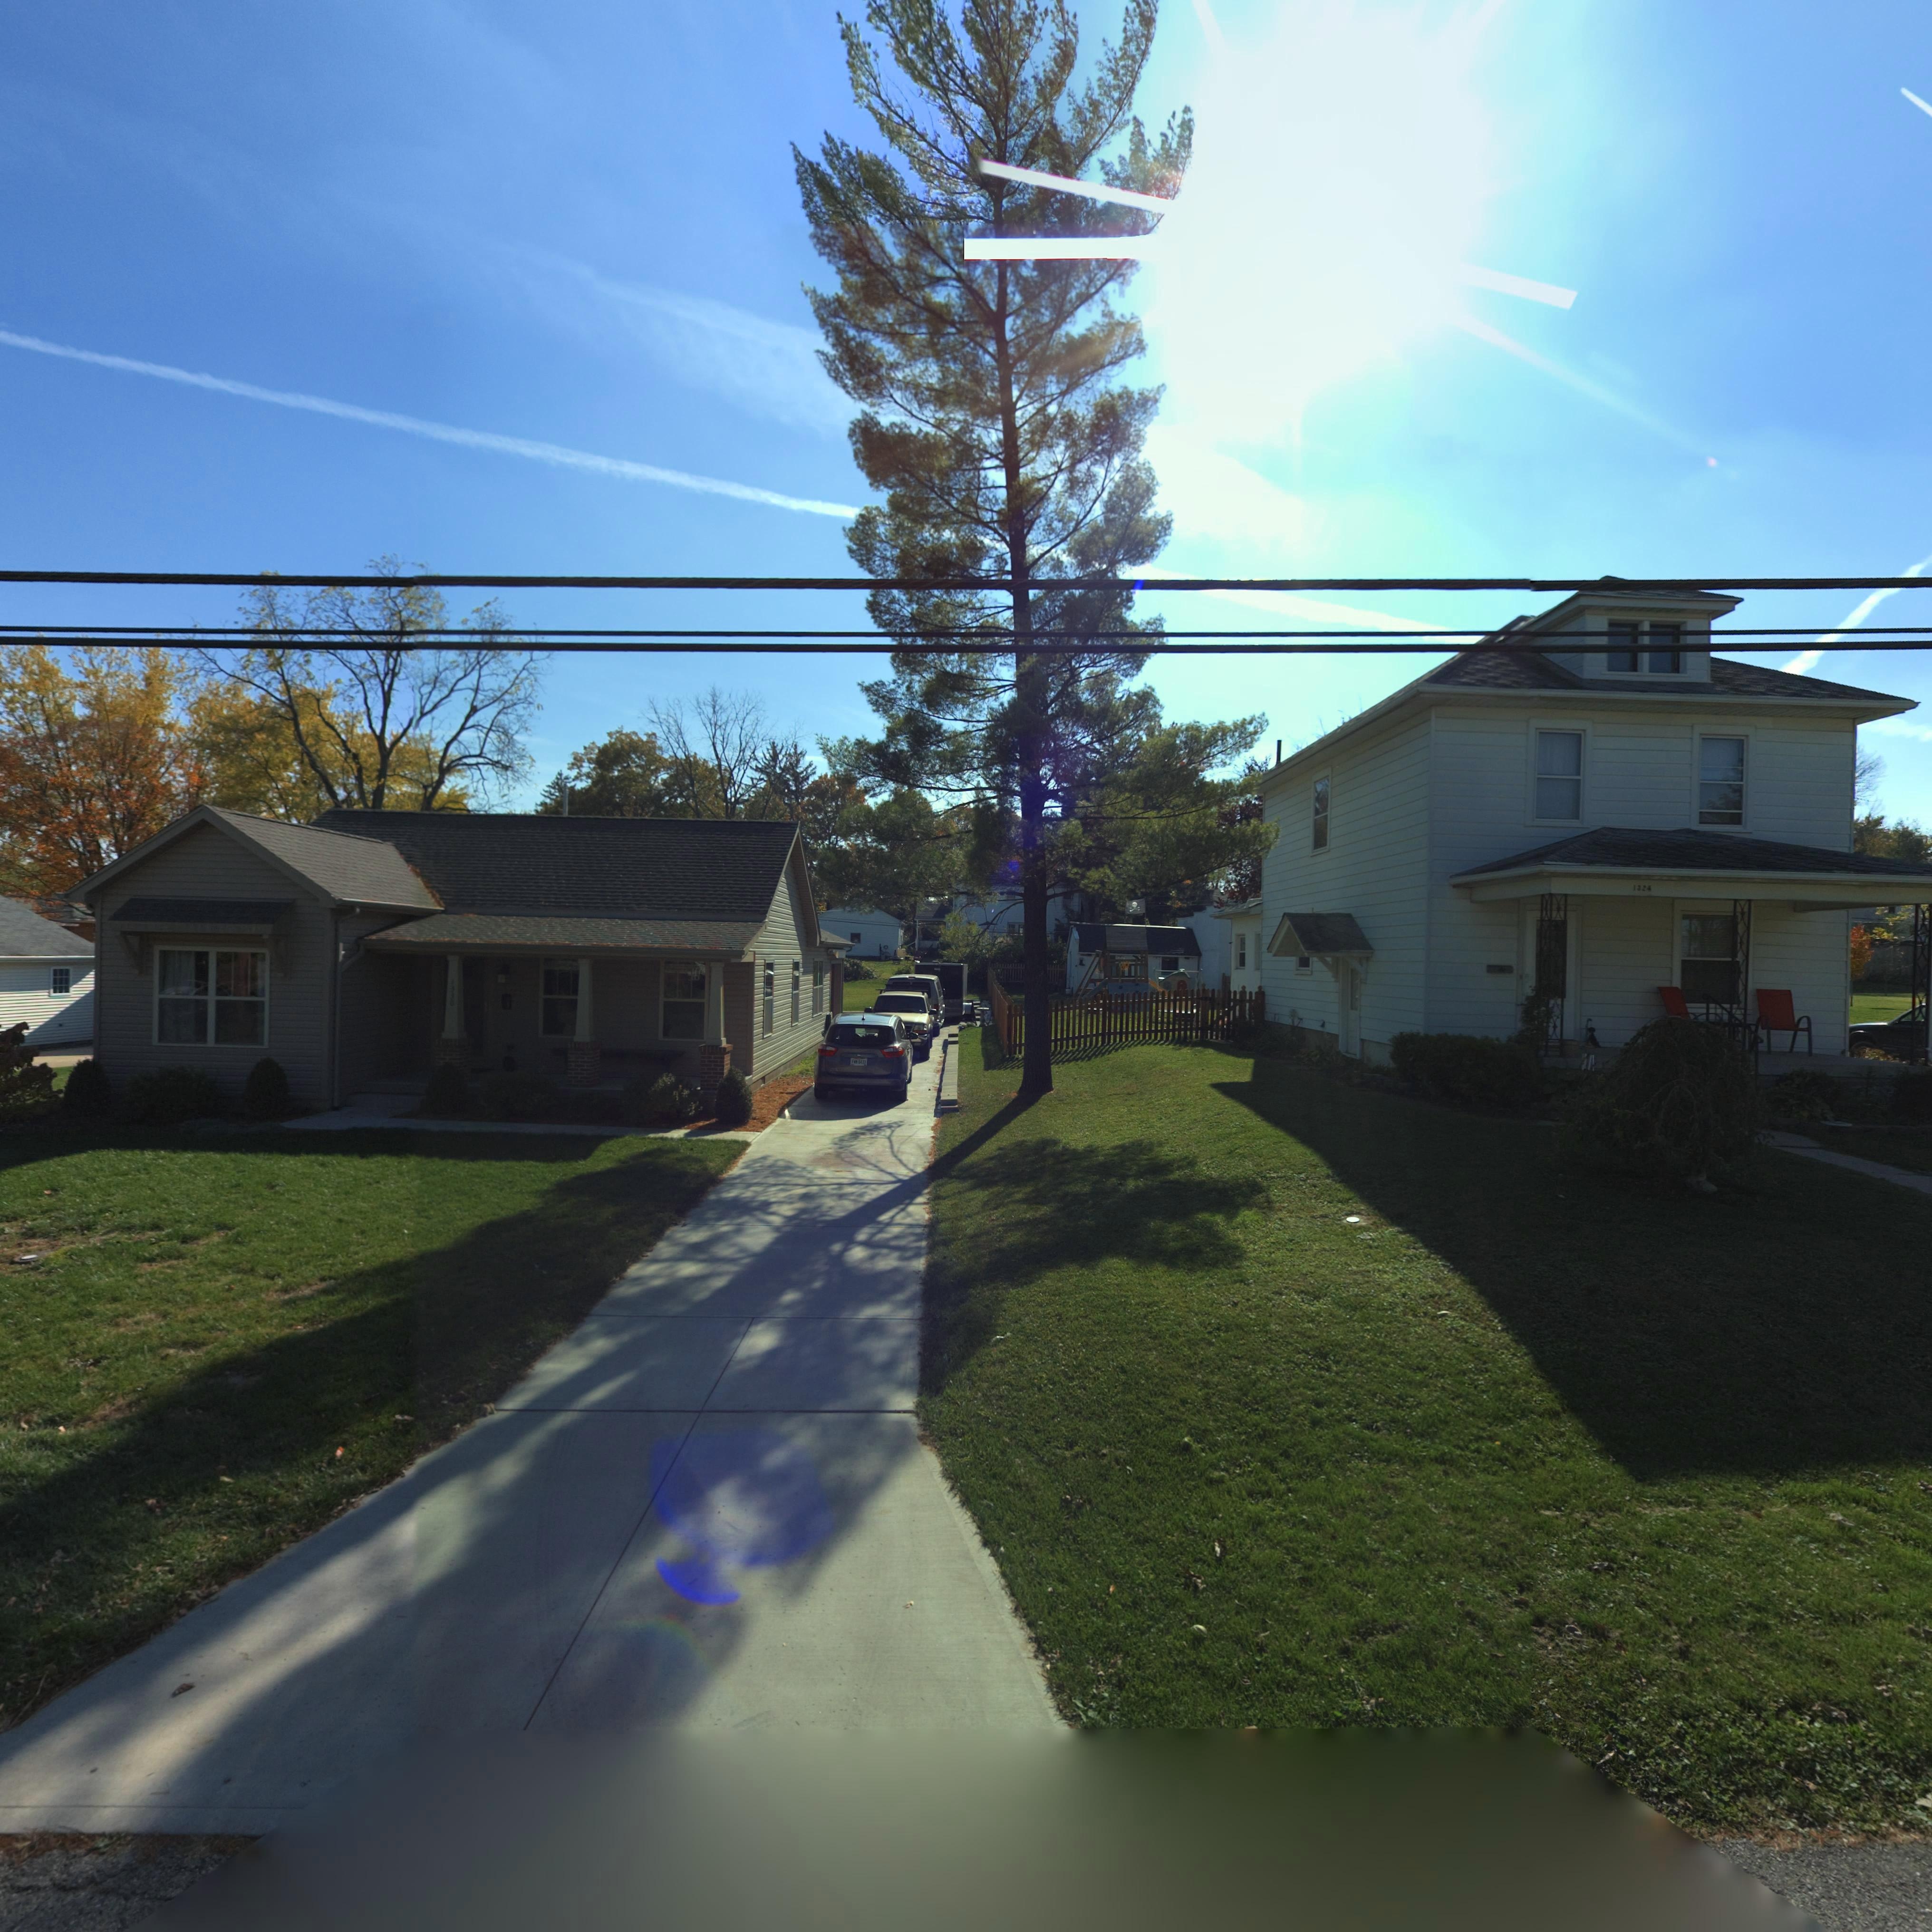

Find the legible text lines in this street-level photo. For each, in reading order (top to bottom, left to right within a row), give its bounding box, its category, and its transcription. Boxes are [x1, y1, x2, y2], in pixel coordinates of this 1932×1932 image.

[1633, 883, 1652, 892] StreetNumber: 1324
[449, 976, 455, 1007] StreetNumber: 1330
[851, 1059, 866, 1064] None: FWD64*3